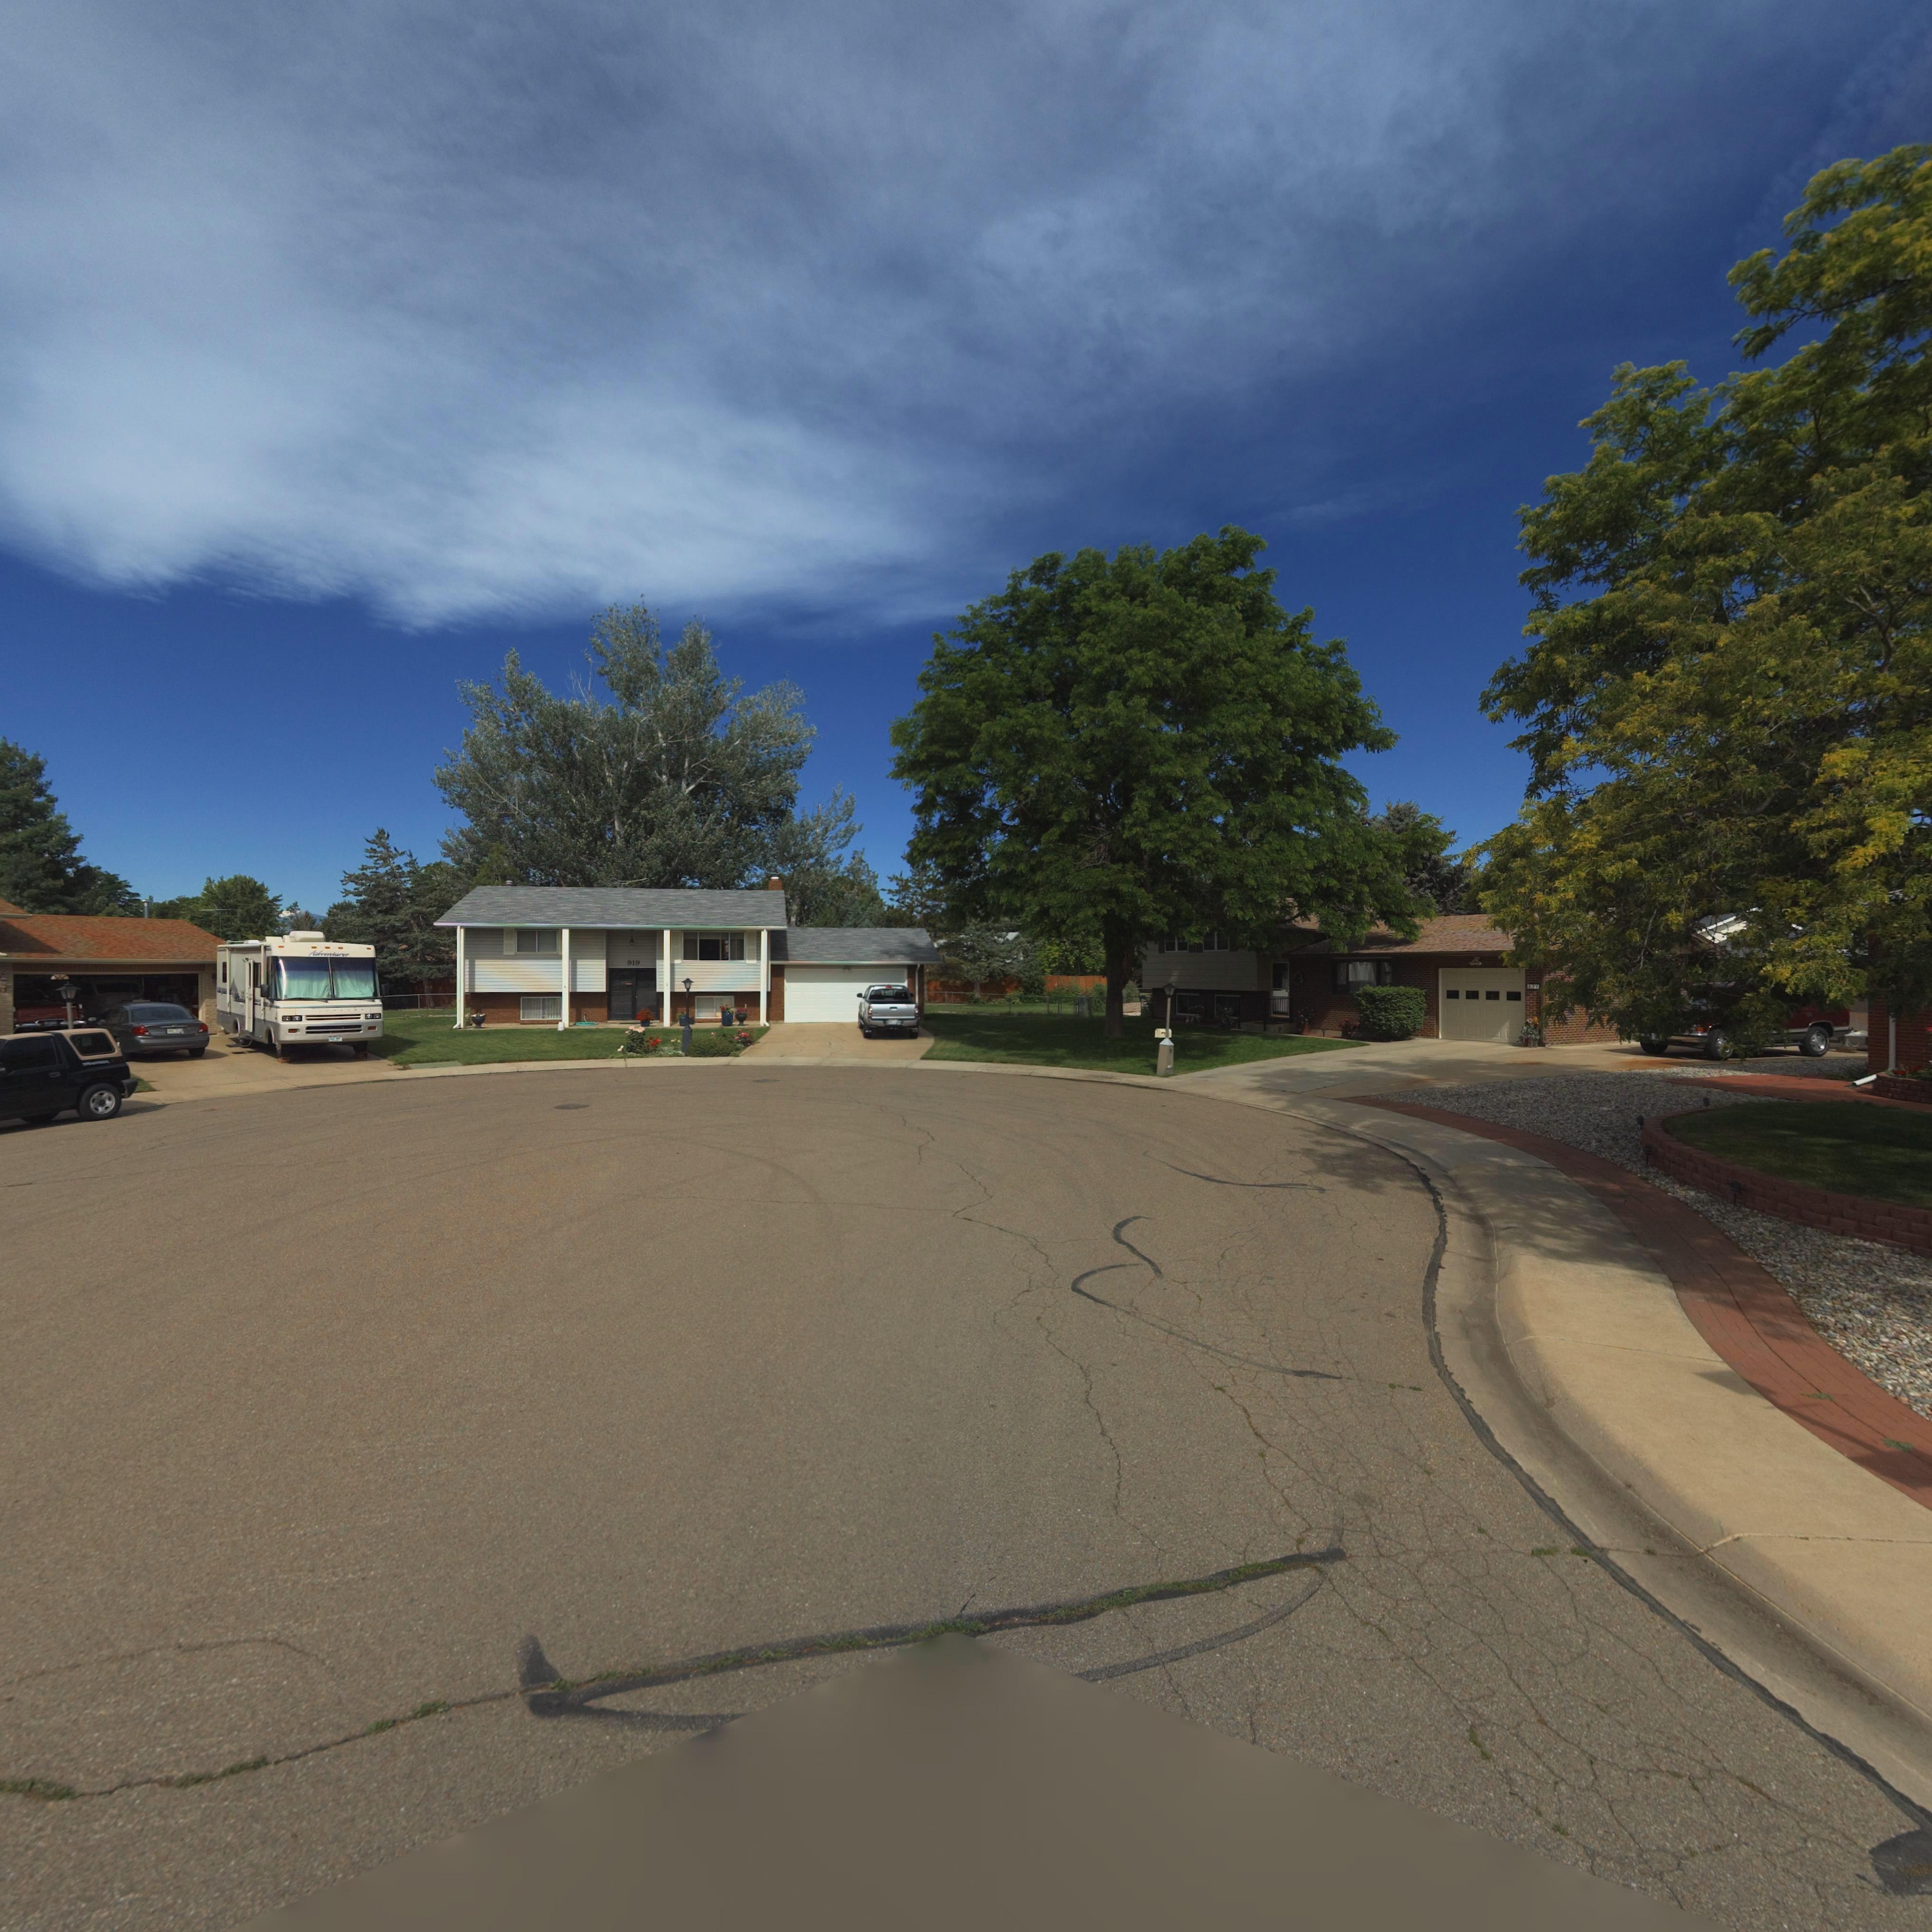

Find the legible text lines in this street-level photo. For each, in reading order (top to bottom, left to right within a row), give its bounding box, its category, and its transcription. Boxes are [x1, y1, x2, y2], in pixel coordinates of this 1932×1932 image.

[627, 959, 640, 966] StreetNumber: 919
[1528, 985, 1538, 988] StreetNumber: 9**